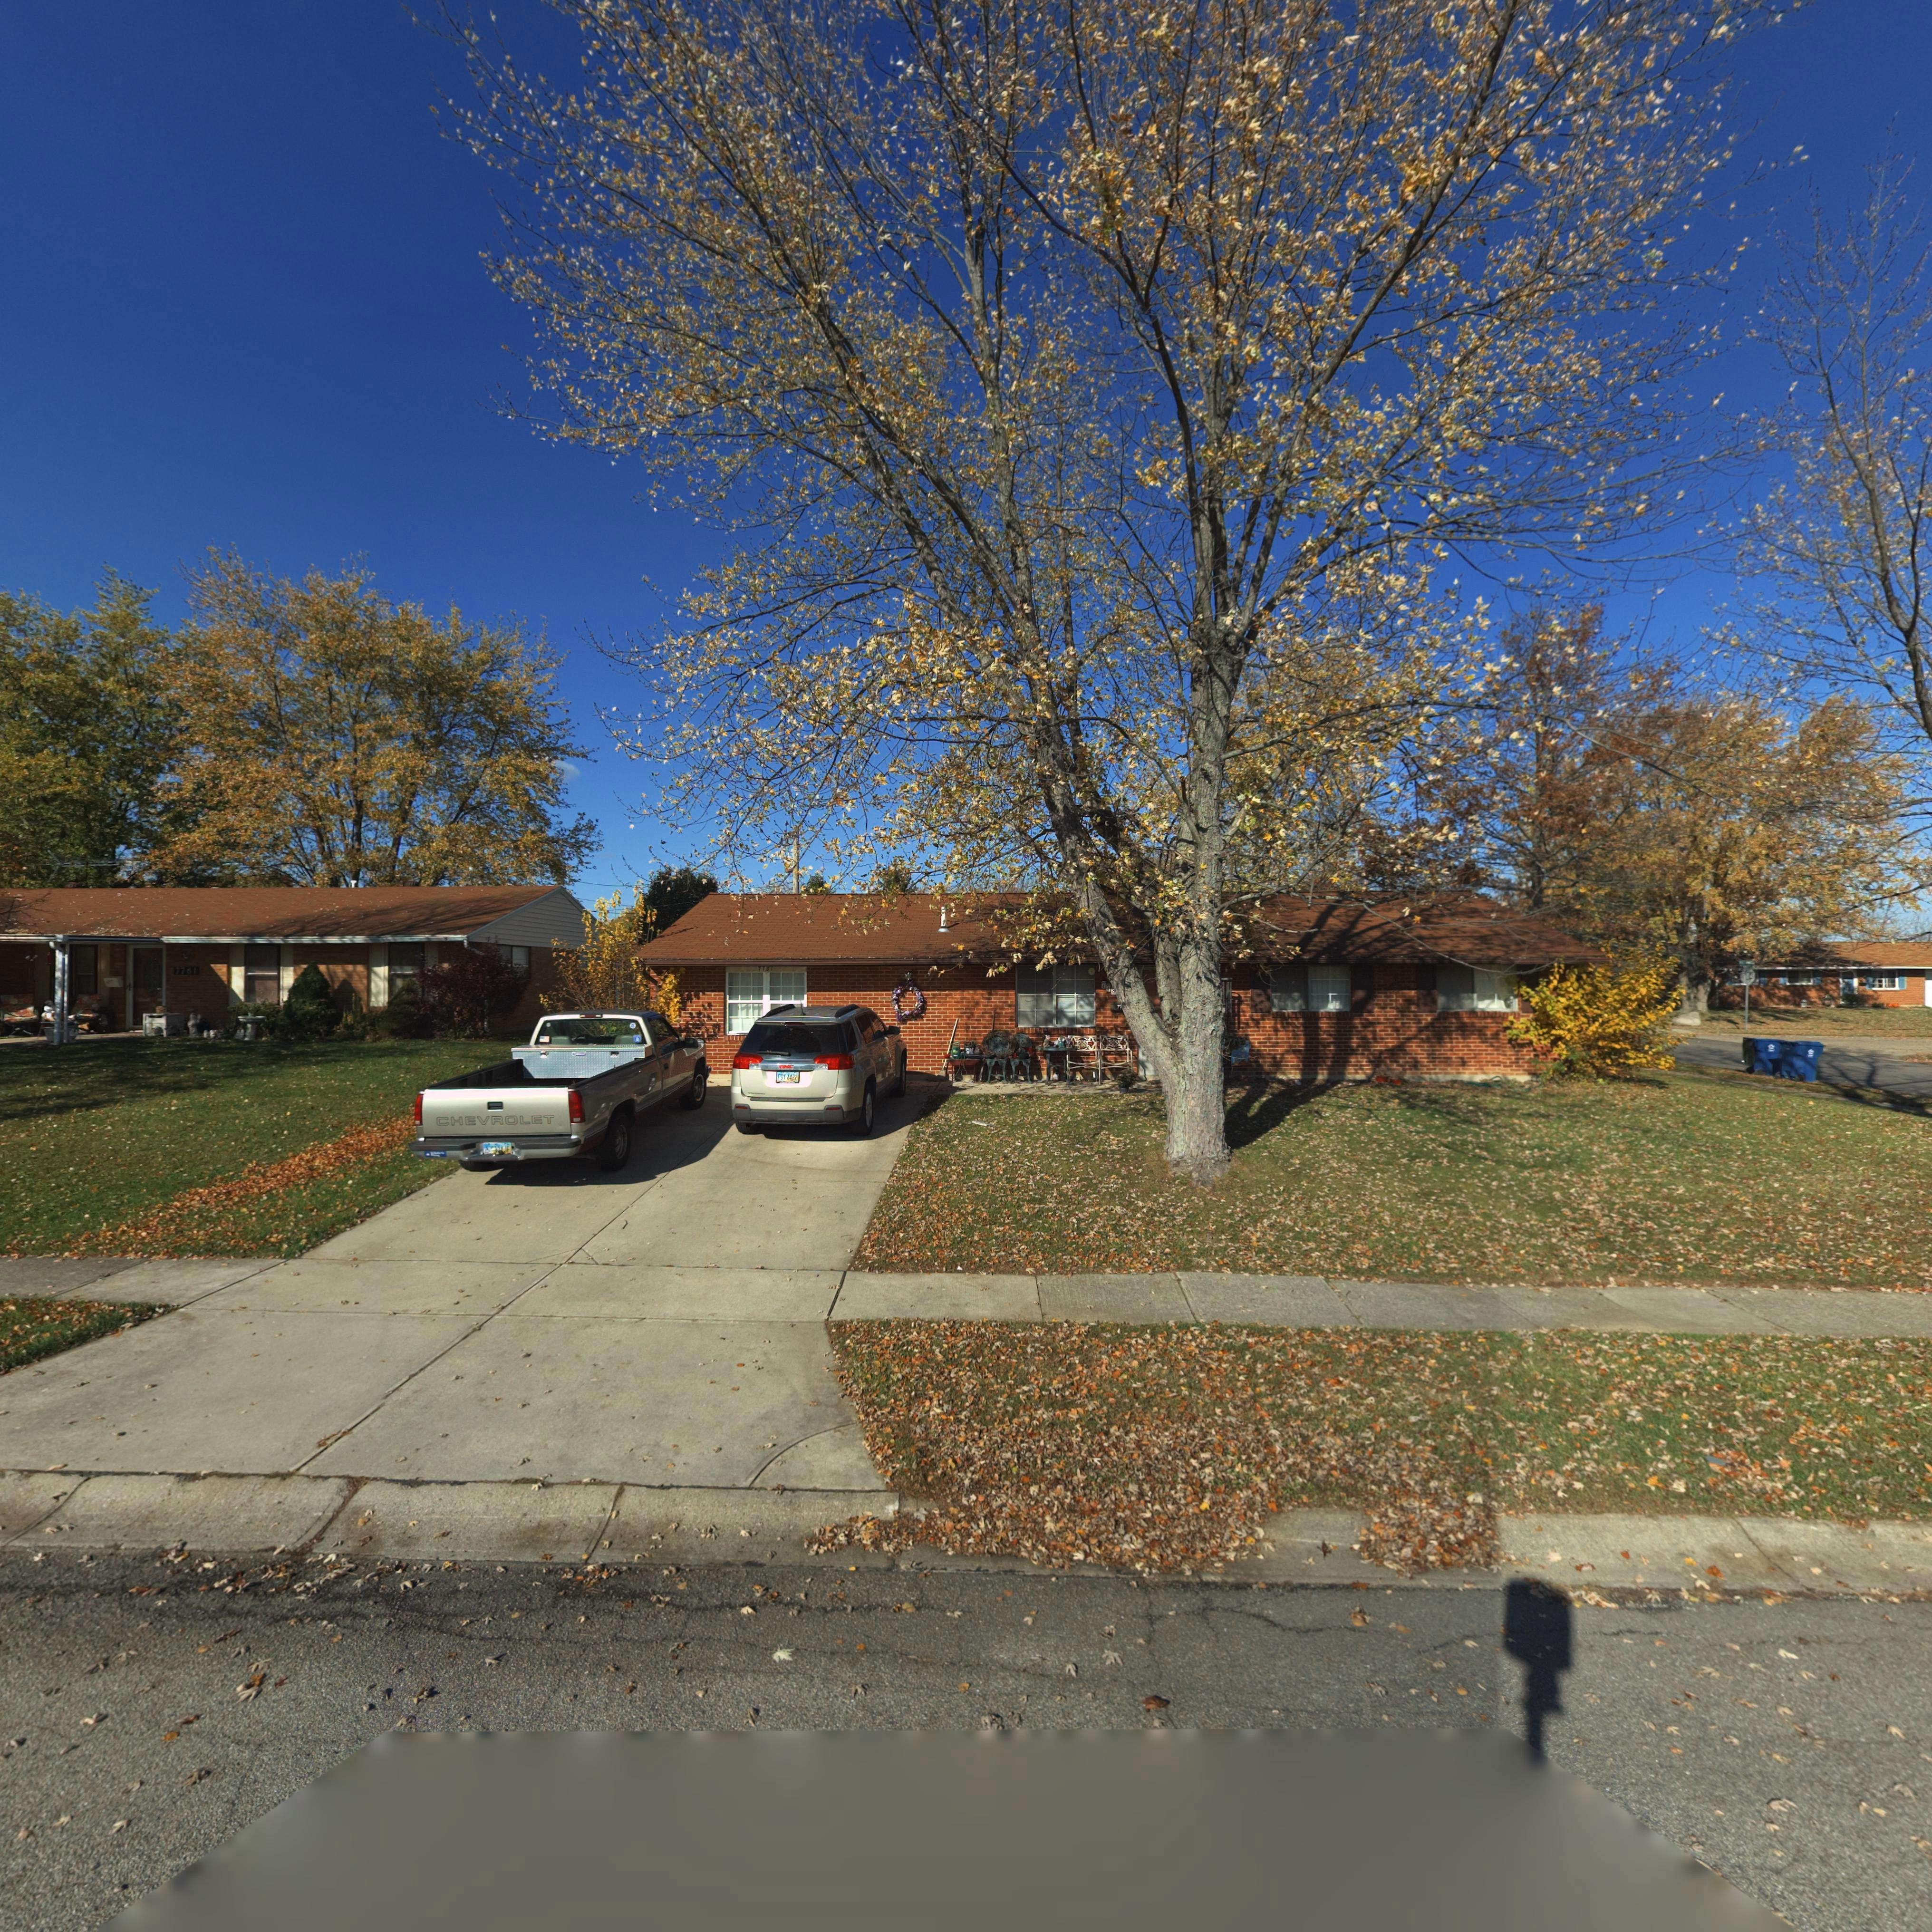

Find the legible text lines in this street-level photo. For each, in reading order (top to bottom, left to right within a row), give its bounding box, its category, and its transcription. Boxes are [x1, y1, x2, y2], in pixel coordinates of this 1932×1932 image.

[174, 966, 197, 976] StreetNumber: 7761
[757, 966, 773, 972] StreetNumber: 77*1
[1101, 980, 1111, 993] StreetNumber: 77
[1115, 1004, 1122, 1011] StreetNumber: 7*